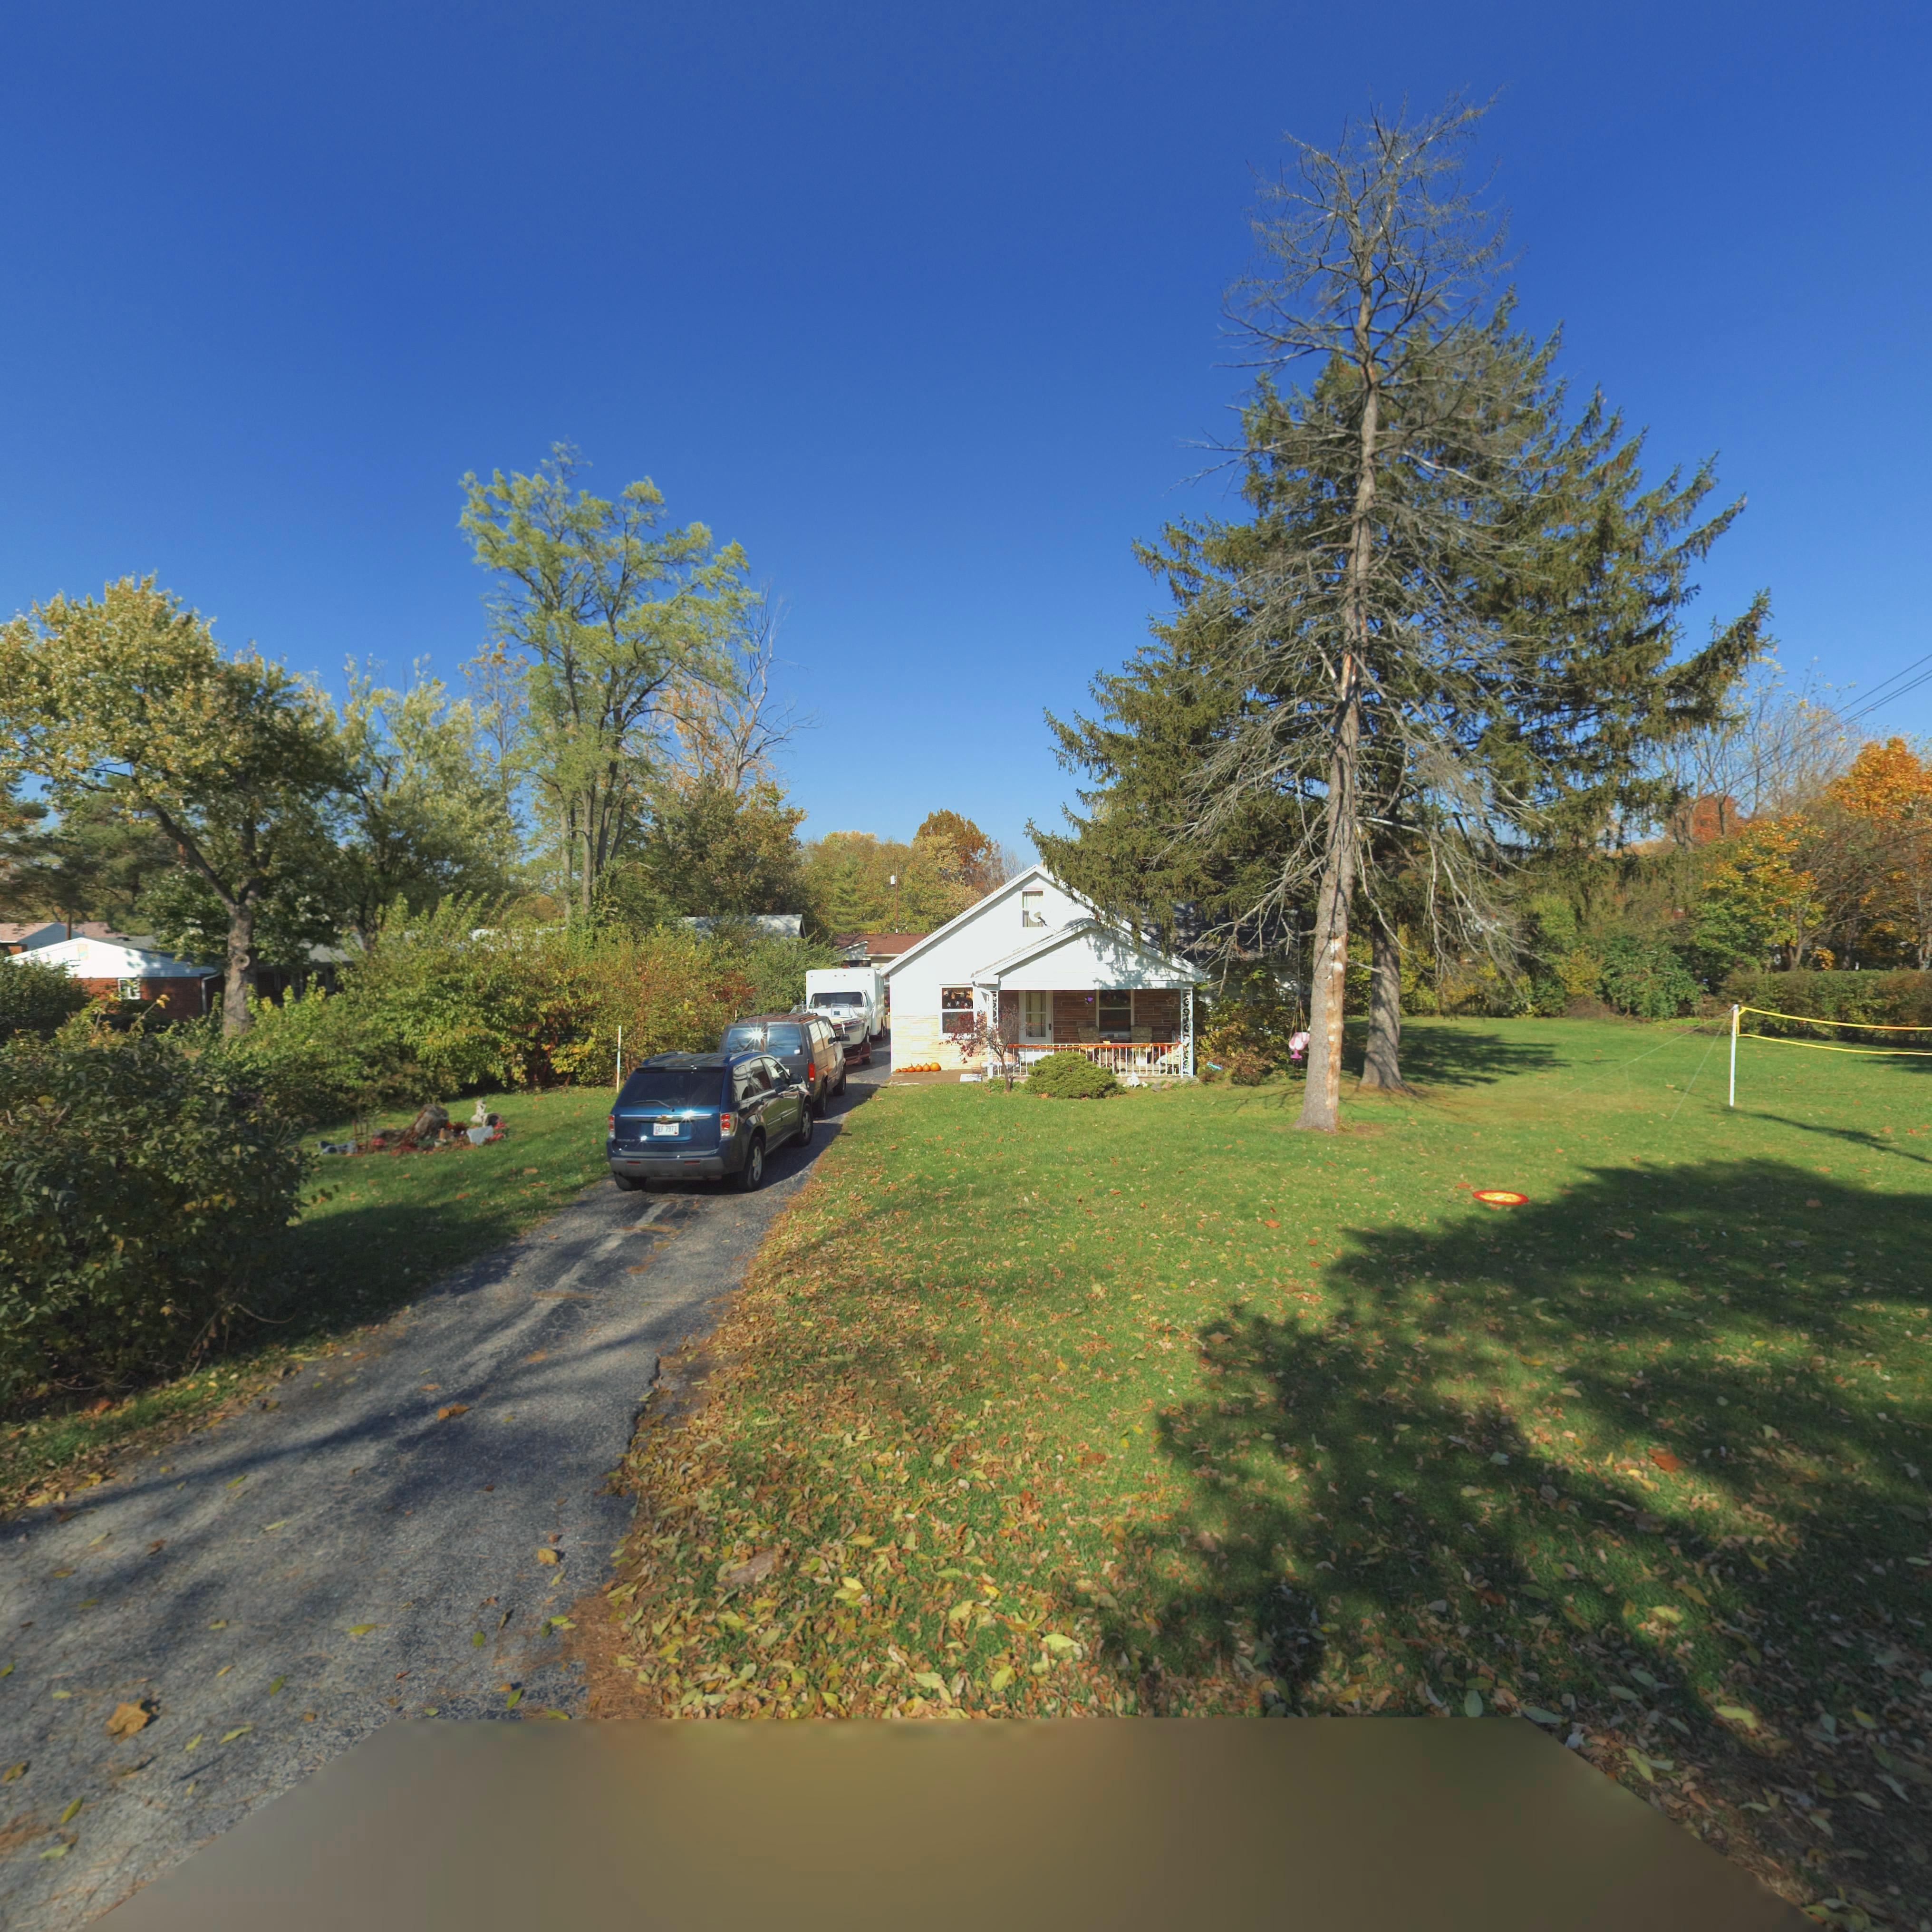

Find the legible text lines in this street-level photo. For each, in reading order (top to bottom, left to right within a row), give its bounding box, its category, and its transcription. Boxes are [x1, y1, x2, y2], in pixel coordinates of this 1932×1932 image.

[654, 1125, 676, 1132] None: GEF 7973